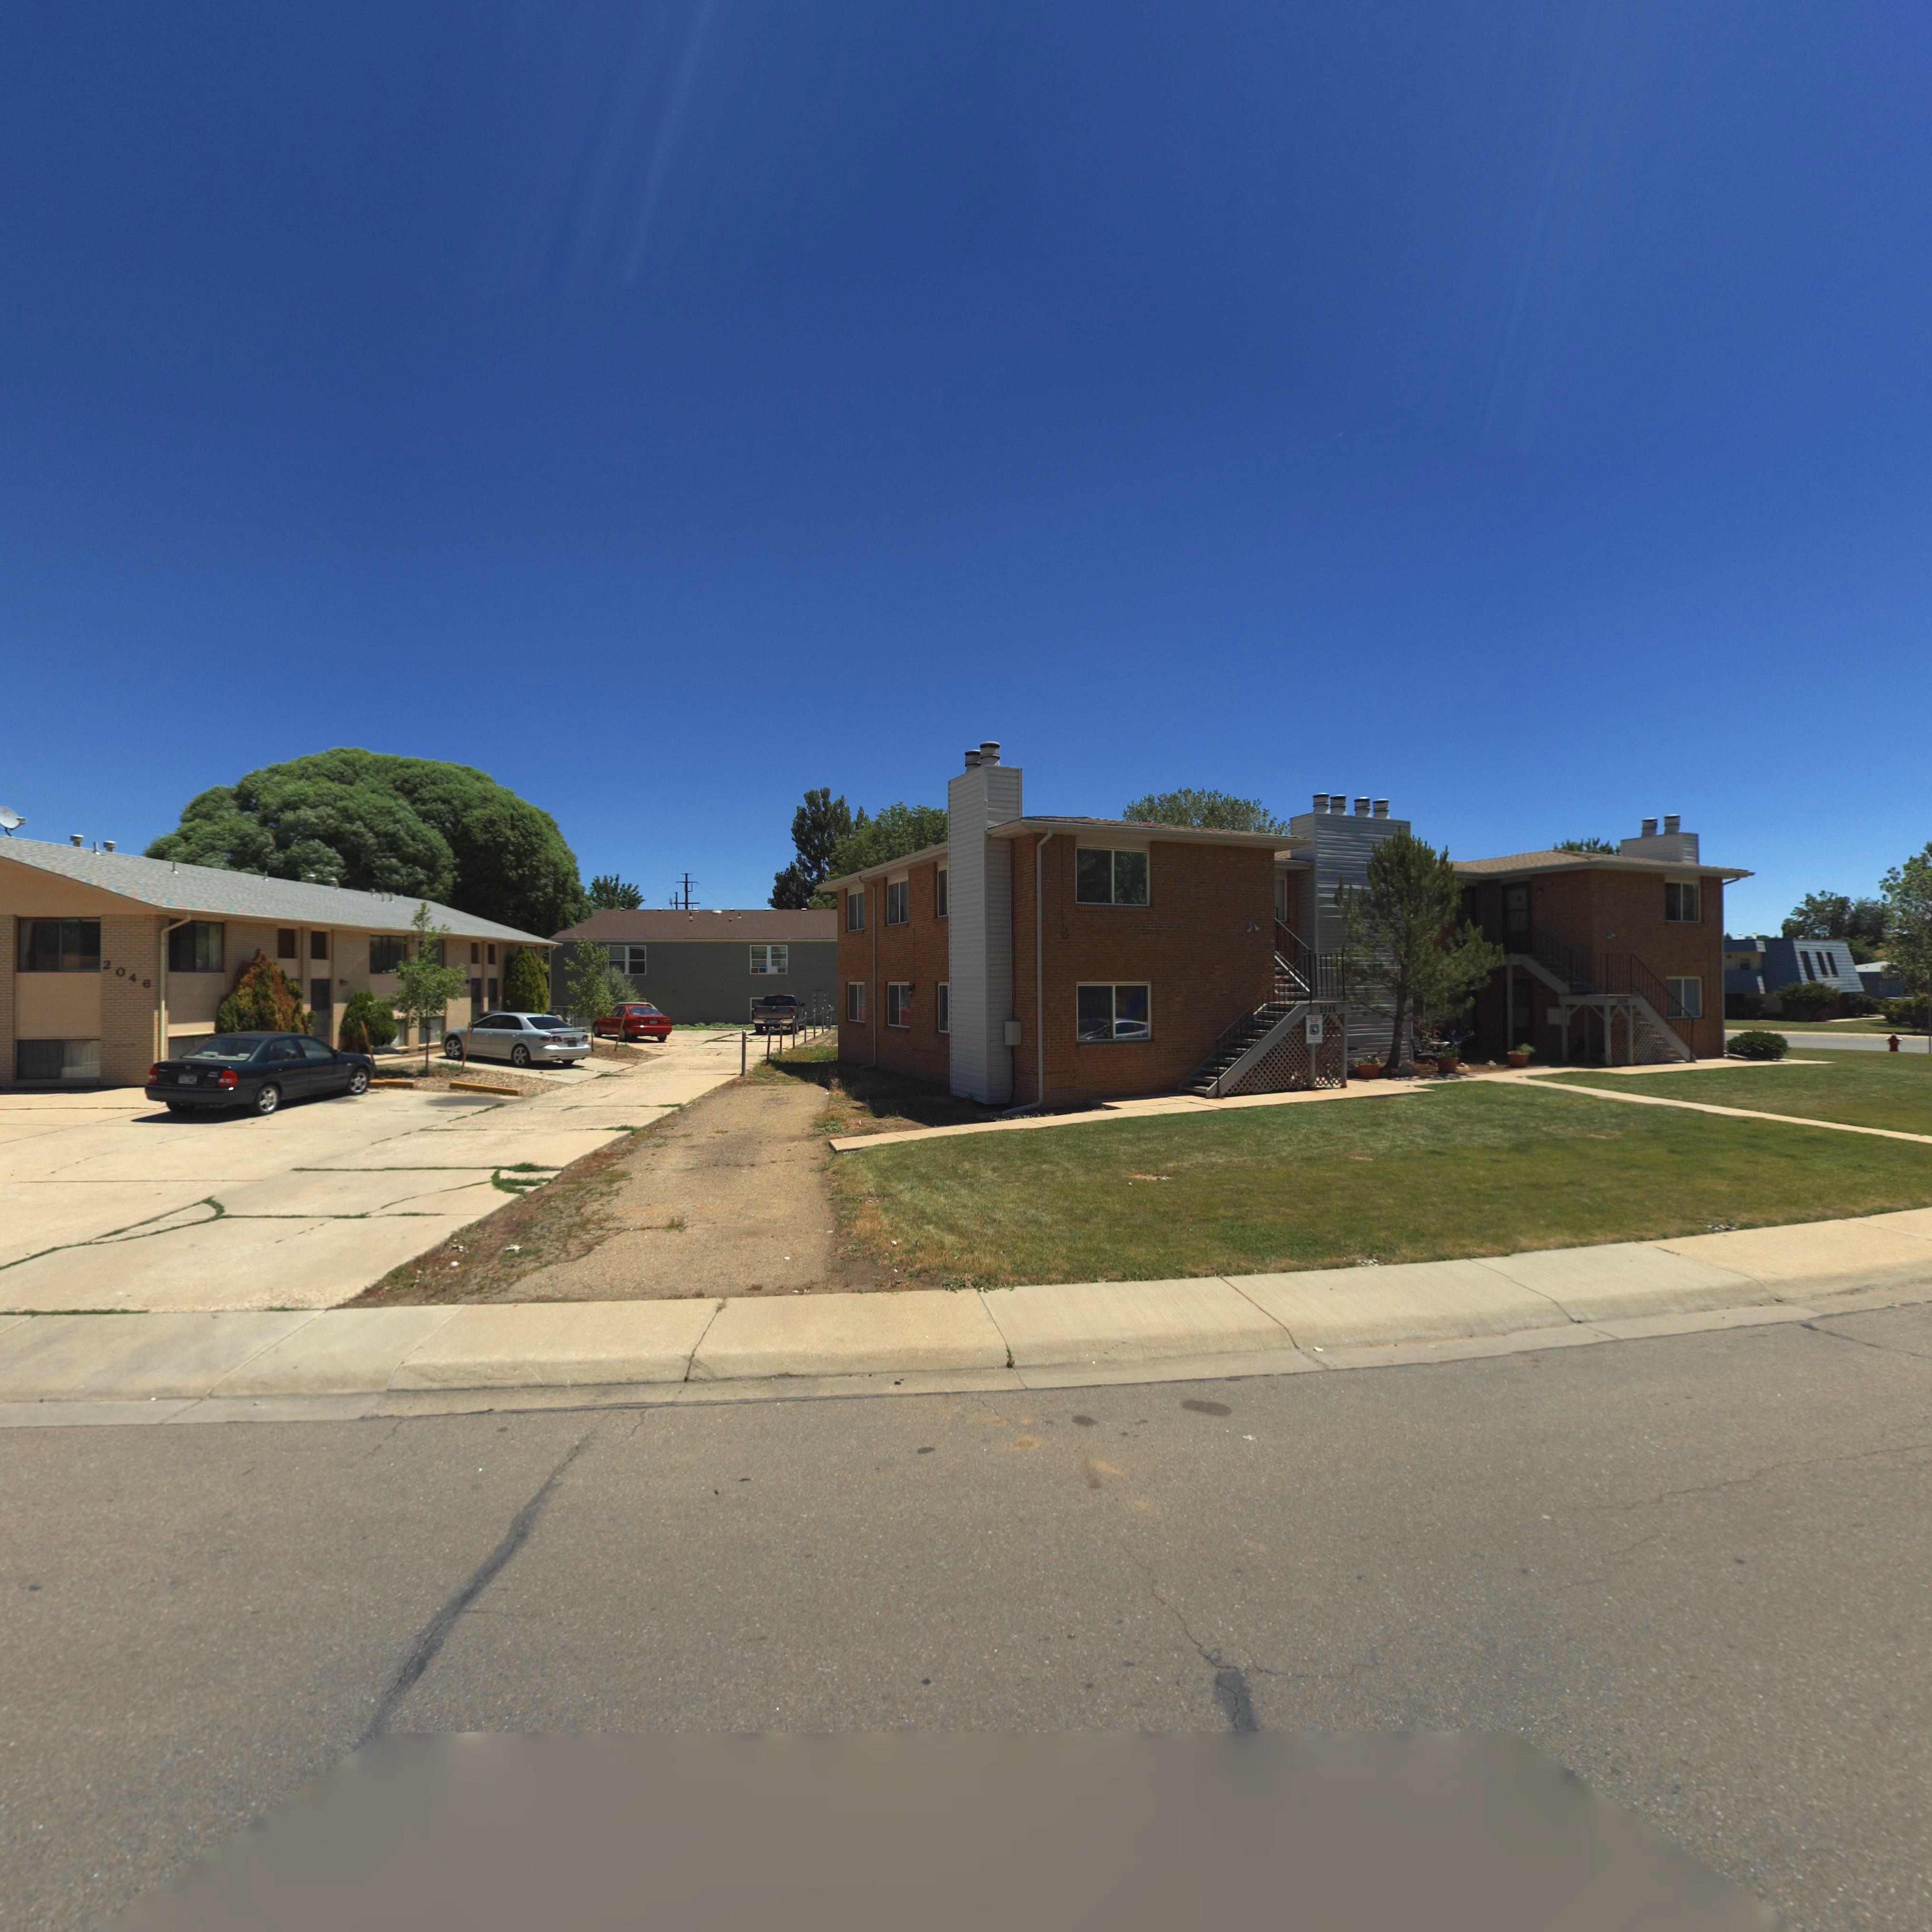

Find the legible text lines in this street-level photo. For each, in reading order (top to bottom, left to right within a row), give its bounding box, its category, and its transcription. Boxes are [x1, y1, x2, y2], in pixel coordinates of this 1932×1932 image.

[101, 959, 152, 989] StreetNumber: 2046
[1616, 998, 1629, 1005] StreetNumber: 20**
[1319, 1005, 1336, 1013] StreetNumber: 2028